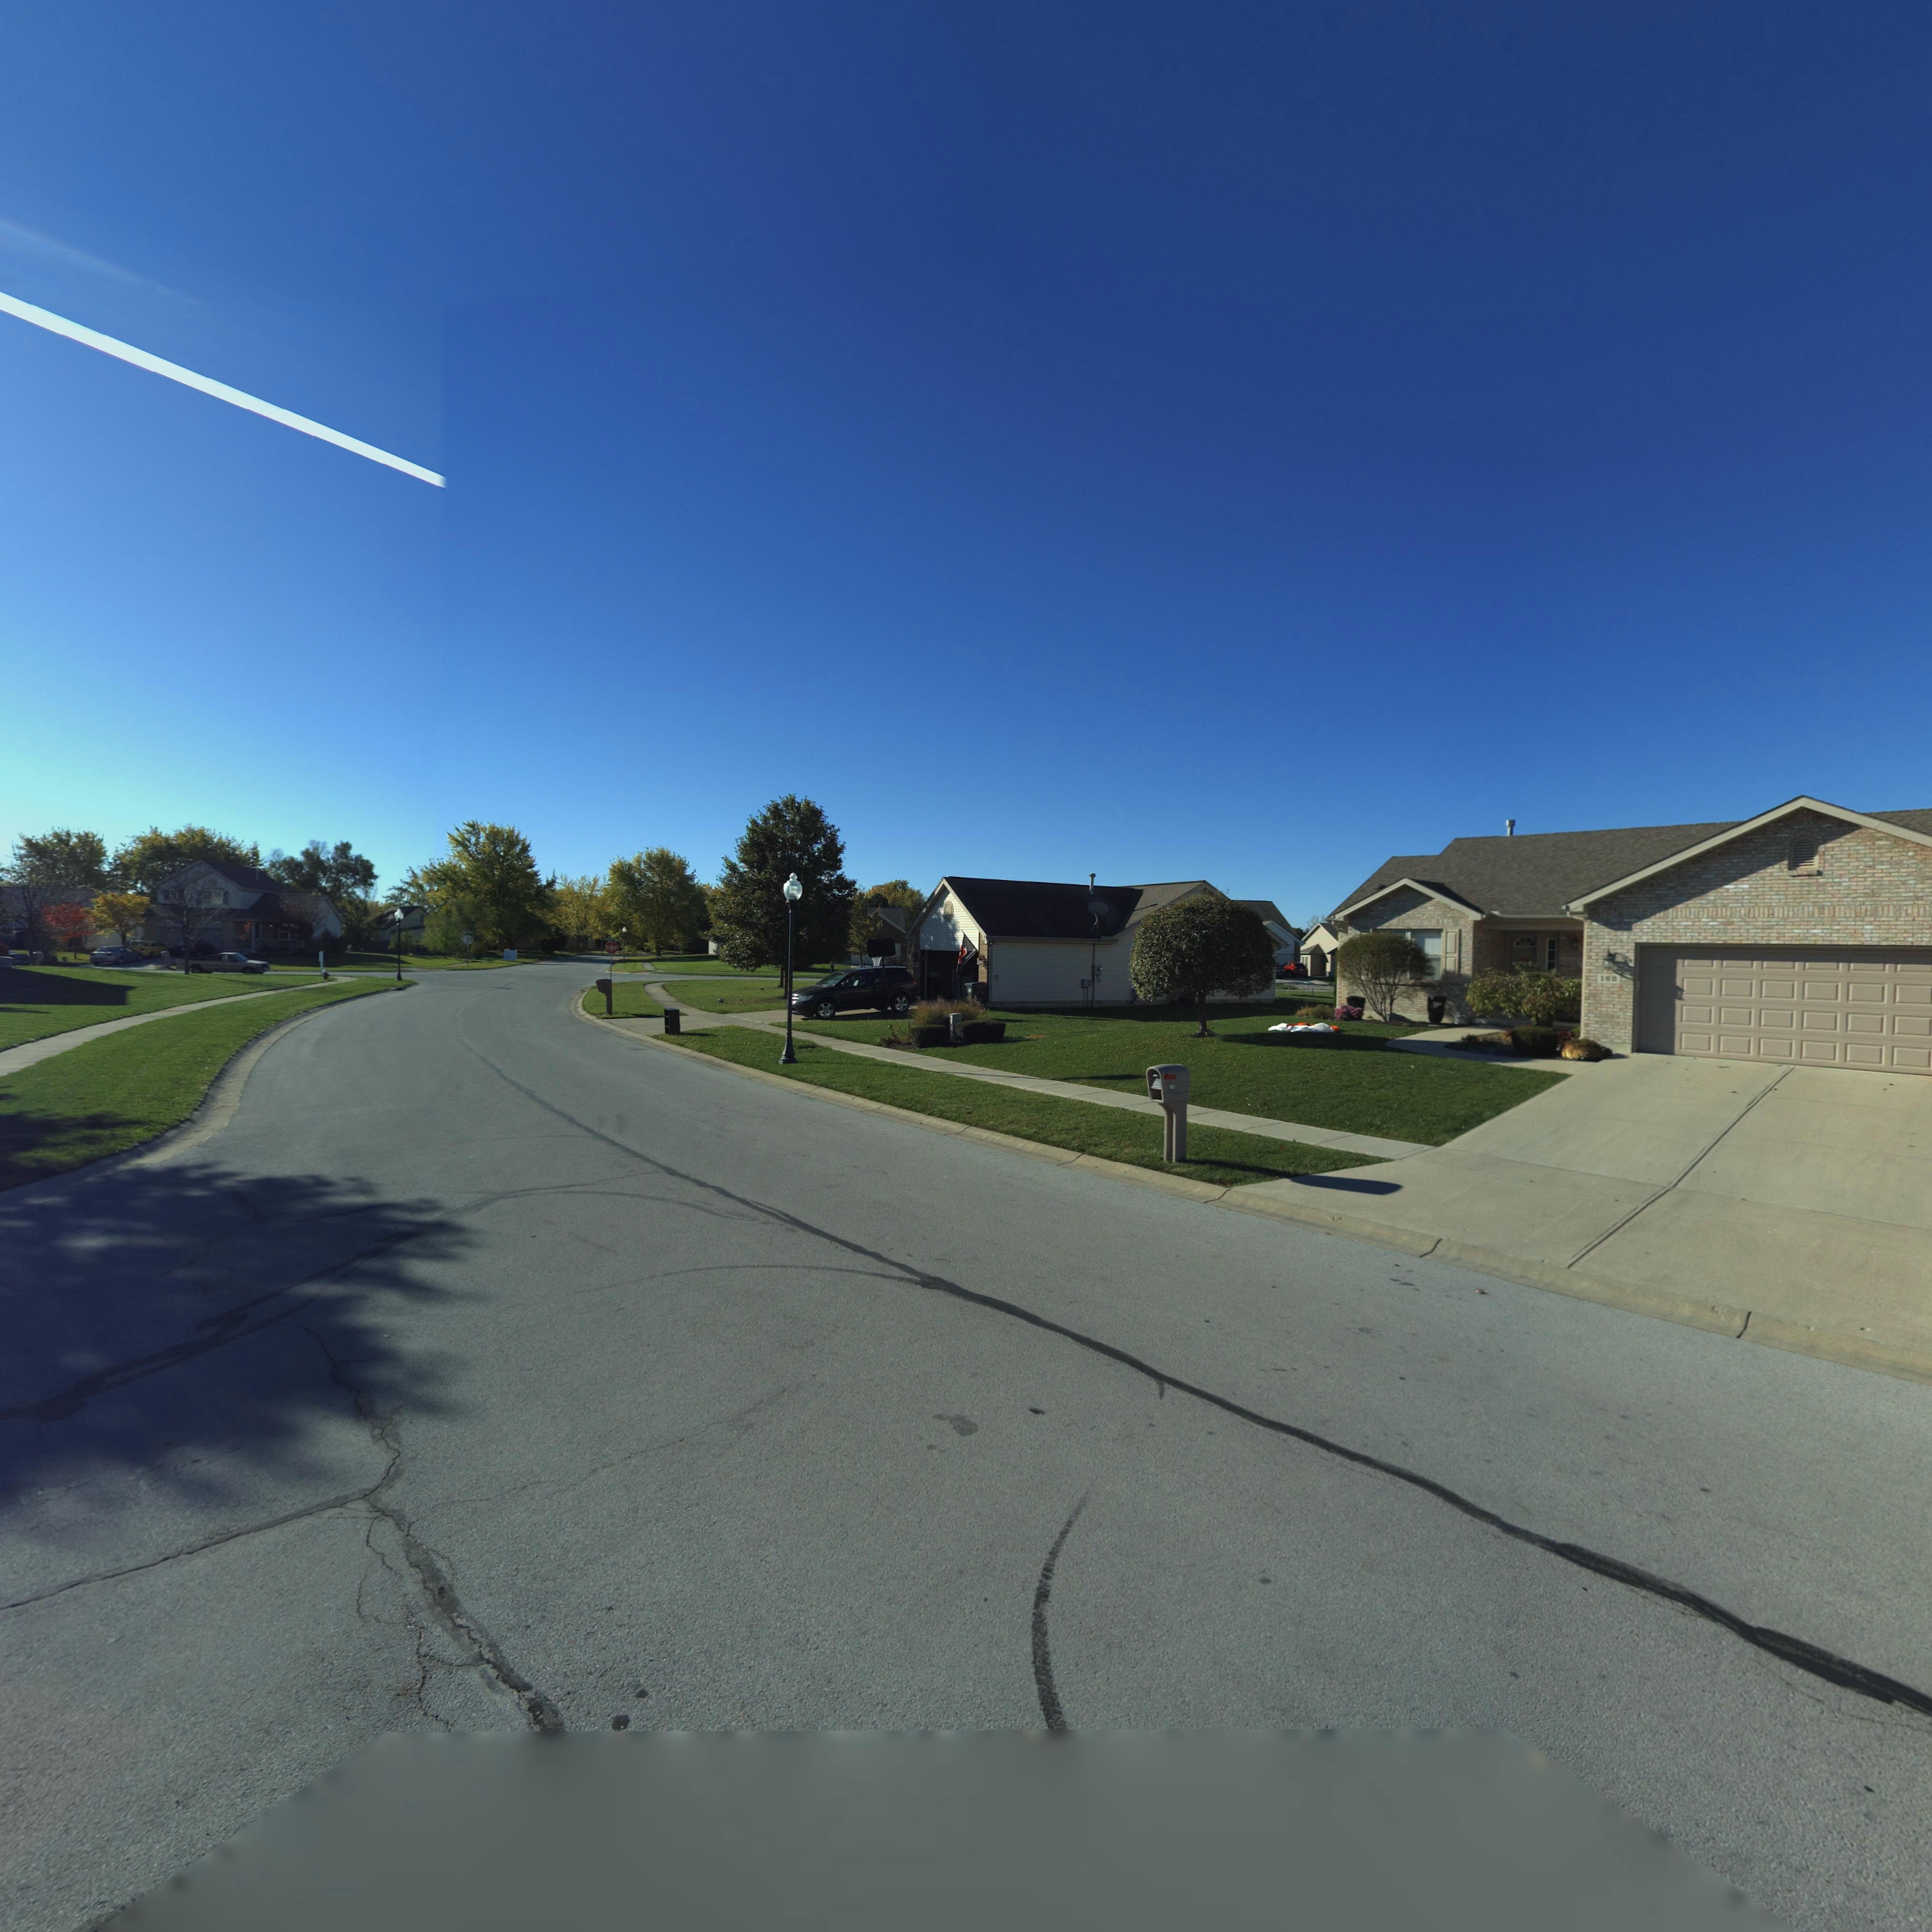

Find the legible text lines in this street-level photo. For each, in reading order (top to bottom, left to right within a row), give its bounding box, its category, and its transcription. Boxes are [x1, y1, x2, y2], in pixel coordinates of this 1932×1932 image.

[1600, 975, 1618, 983] StreetNumber: 162